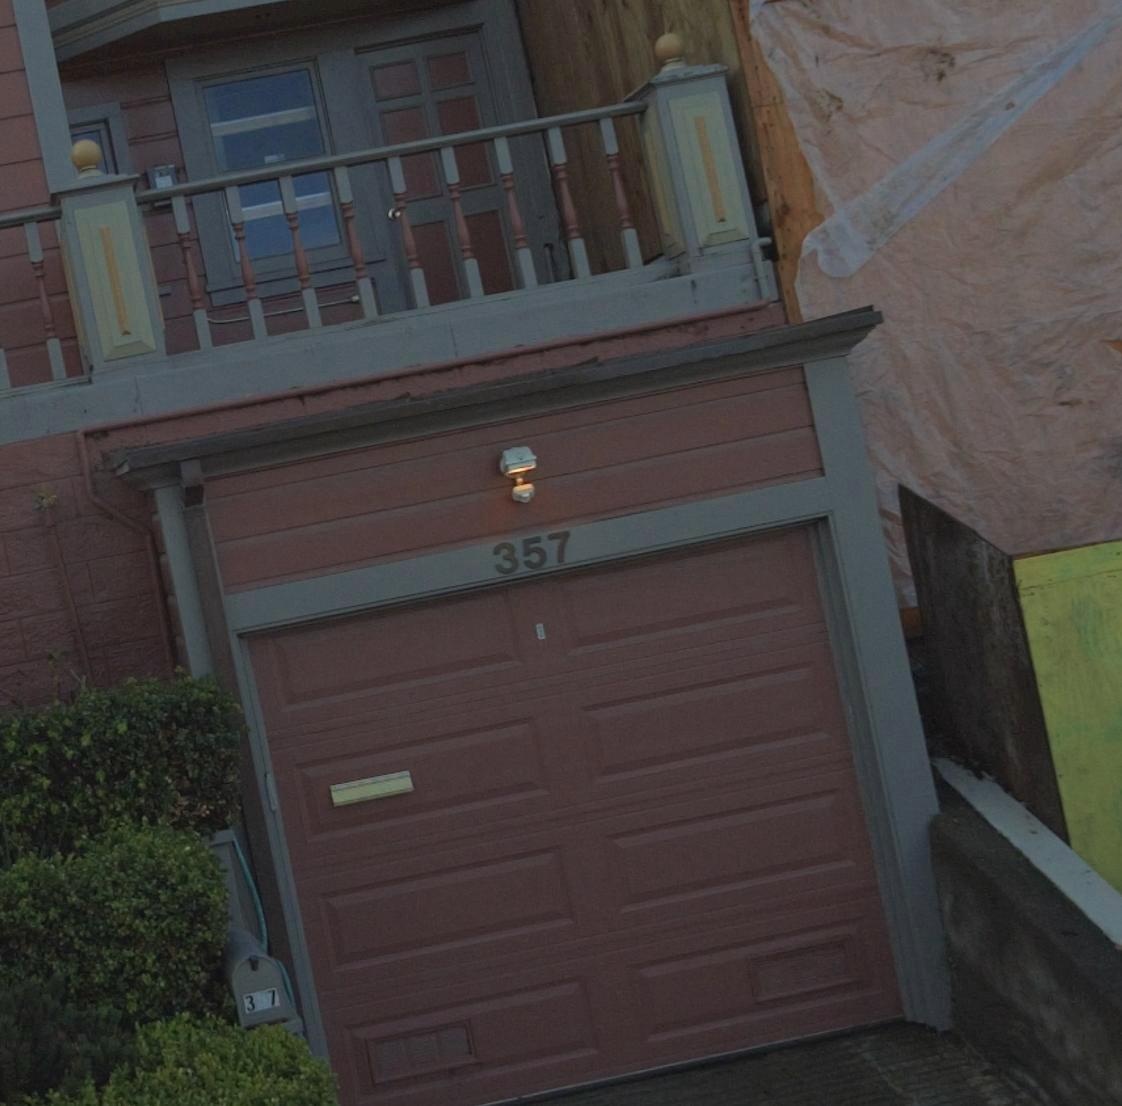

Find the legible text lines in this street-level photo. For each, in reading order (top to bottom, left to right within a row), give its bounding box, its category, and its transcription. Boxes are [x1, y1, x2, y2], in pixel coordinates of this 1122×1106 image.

[488, 529, 576, 578] StreetNumber: 357
[243, 988, 280, 1014] StreetNumber: 357